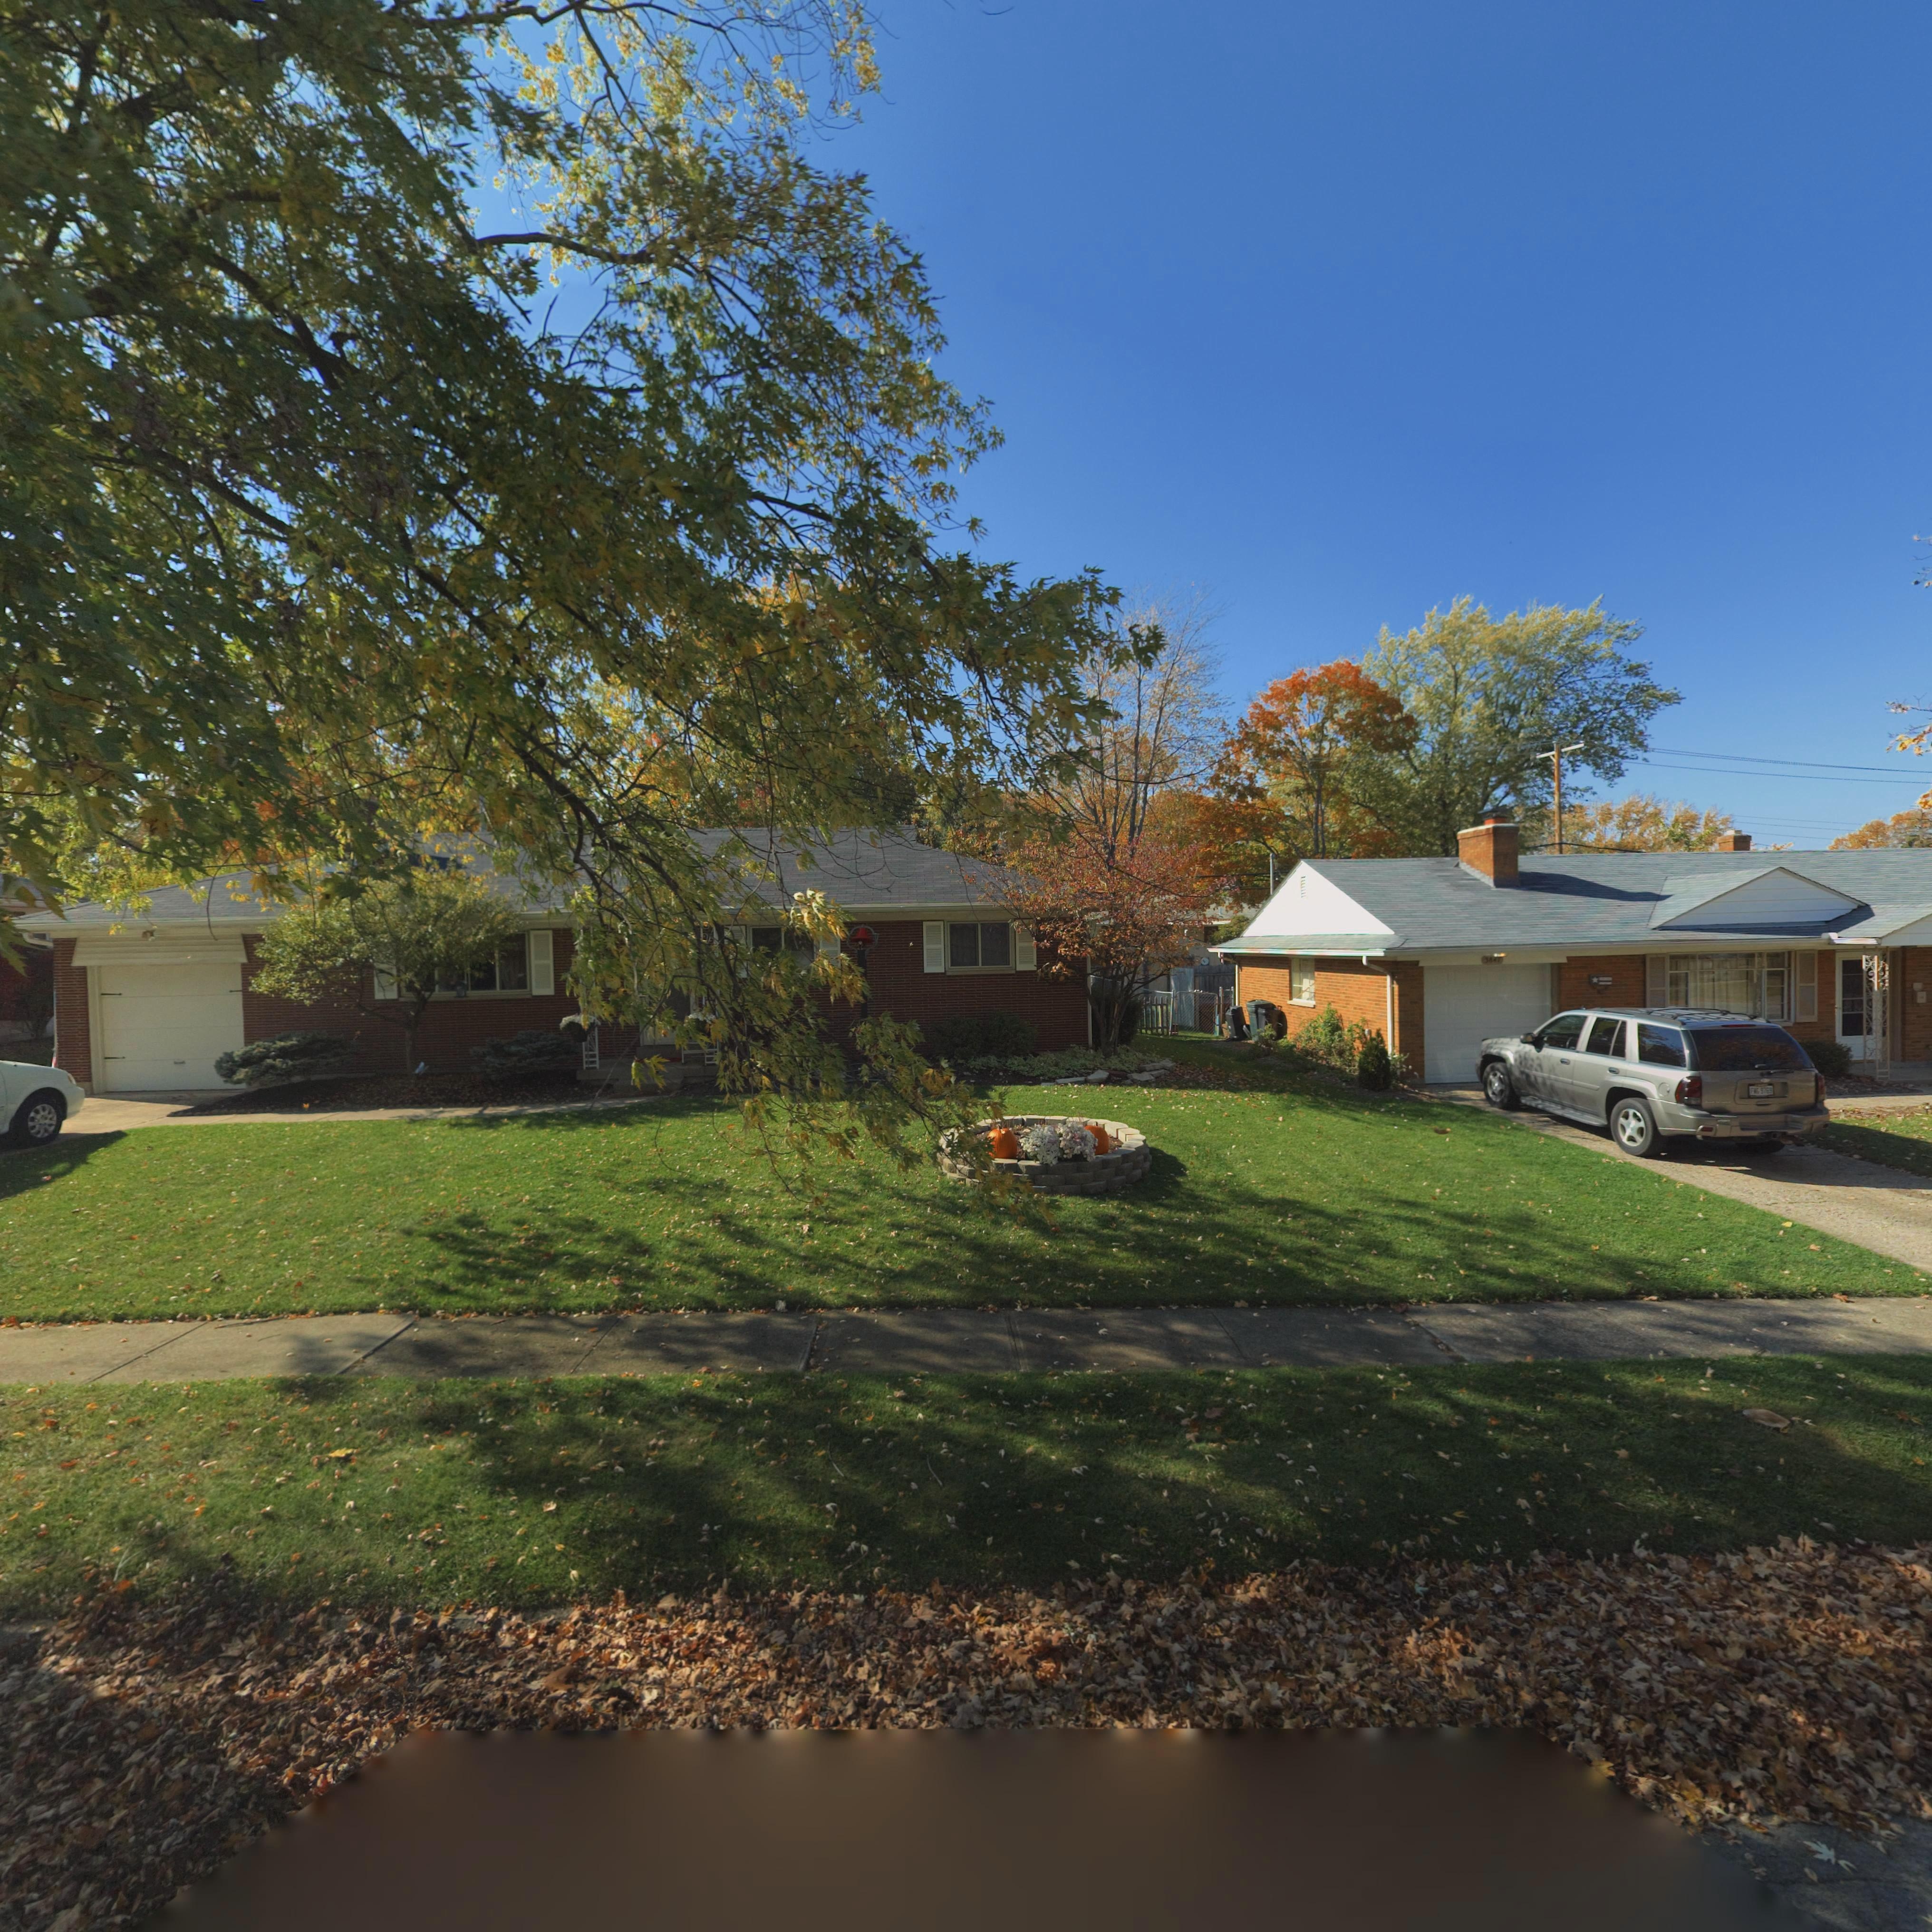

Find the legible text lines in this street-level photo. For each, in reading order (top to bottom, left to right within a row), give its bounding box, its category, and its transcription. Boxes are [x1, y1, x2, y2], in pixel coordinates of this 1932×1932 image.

[1483, 956, 1500, 964] StreetNumber: 3847
[1750, 1088, 1774, 1094] None: FWG 9769